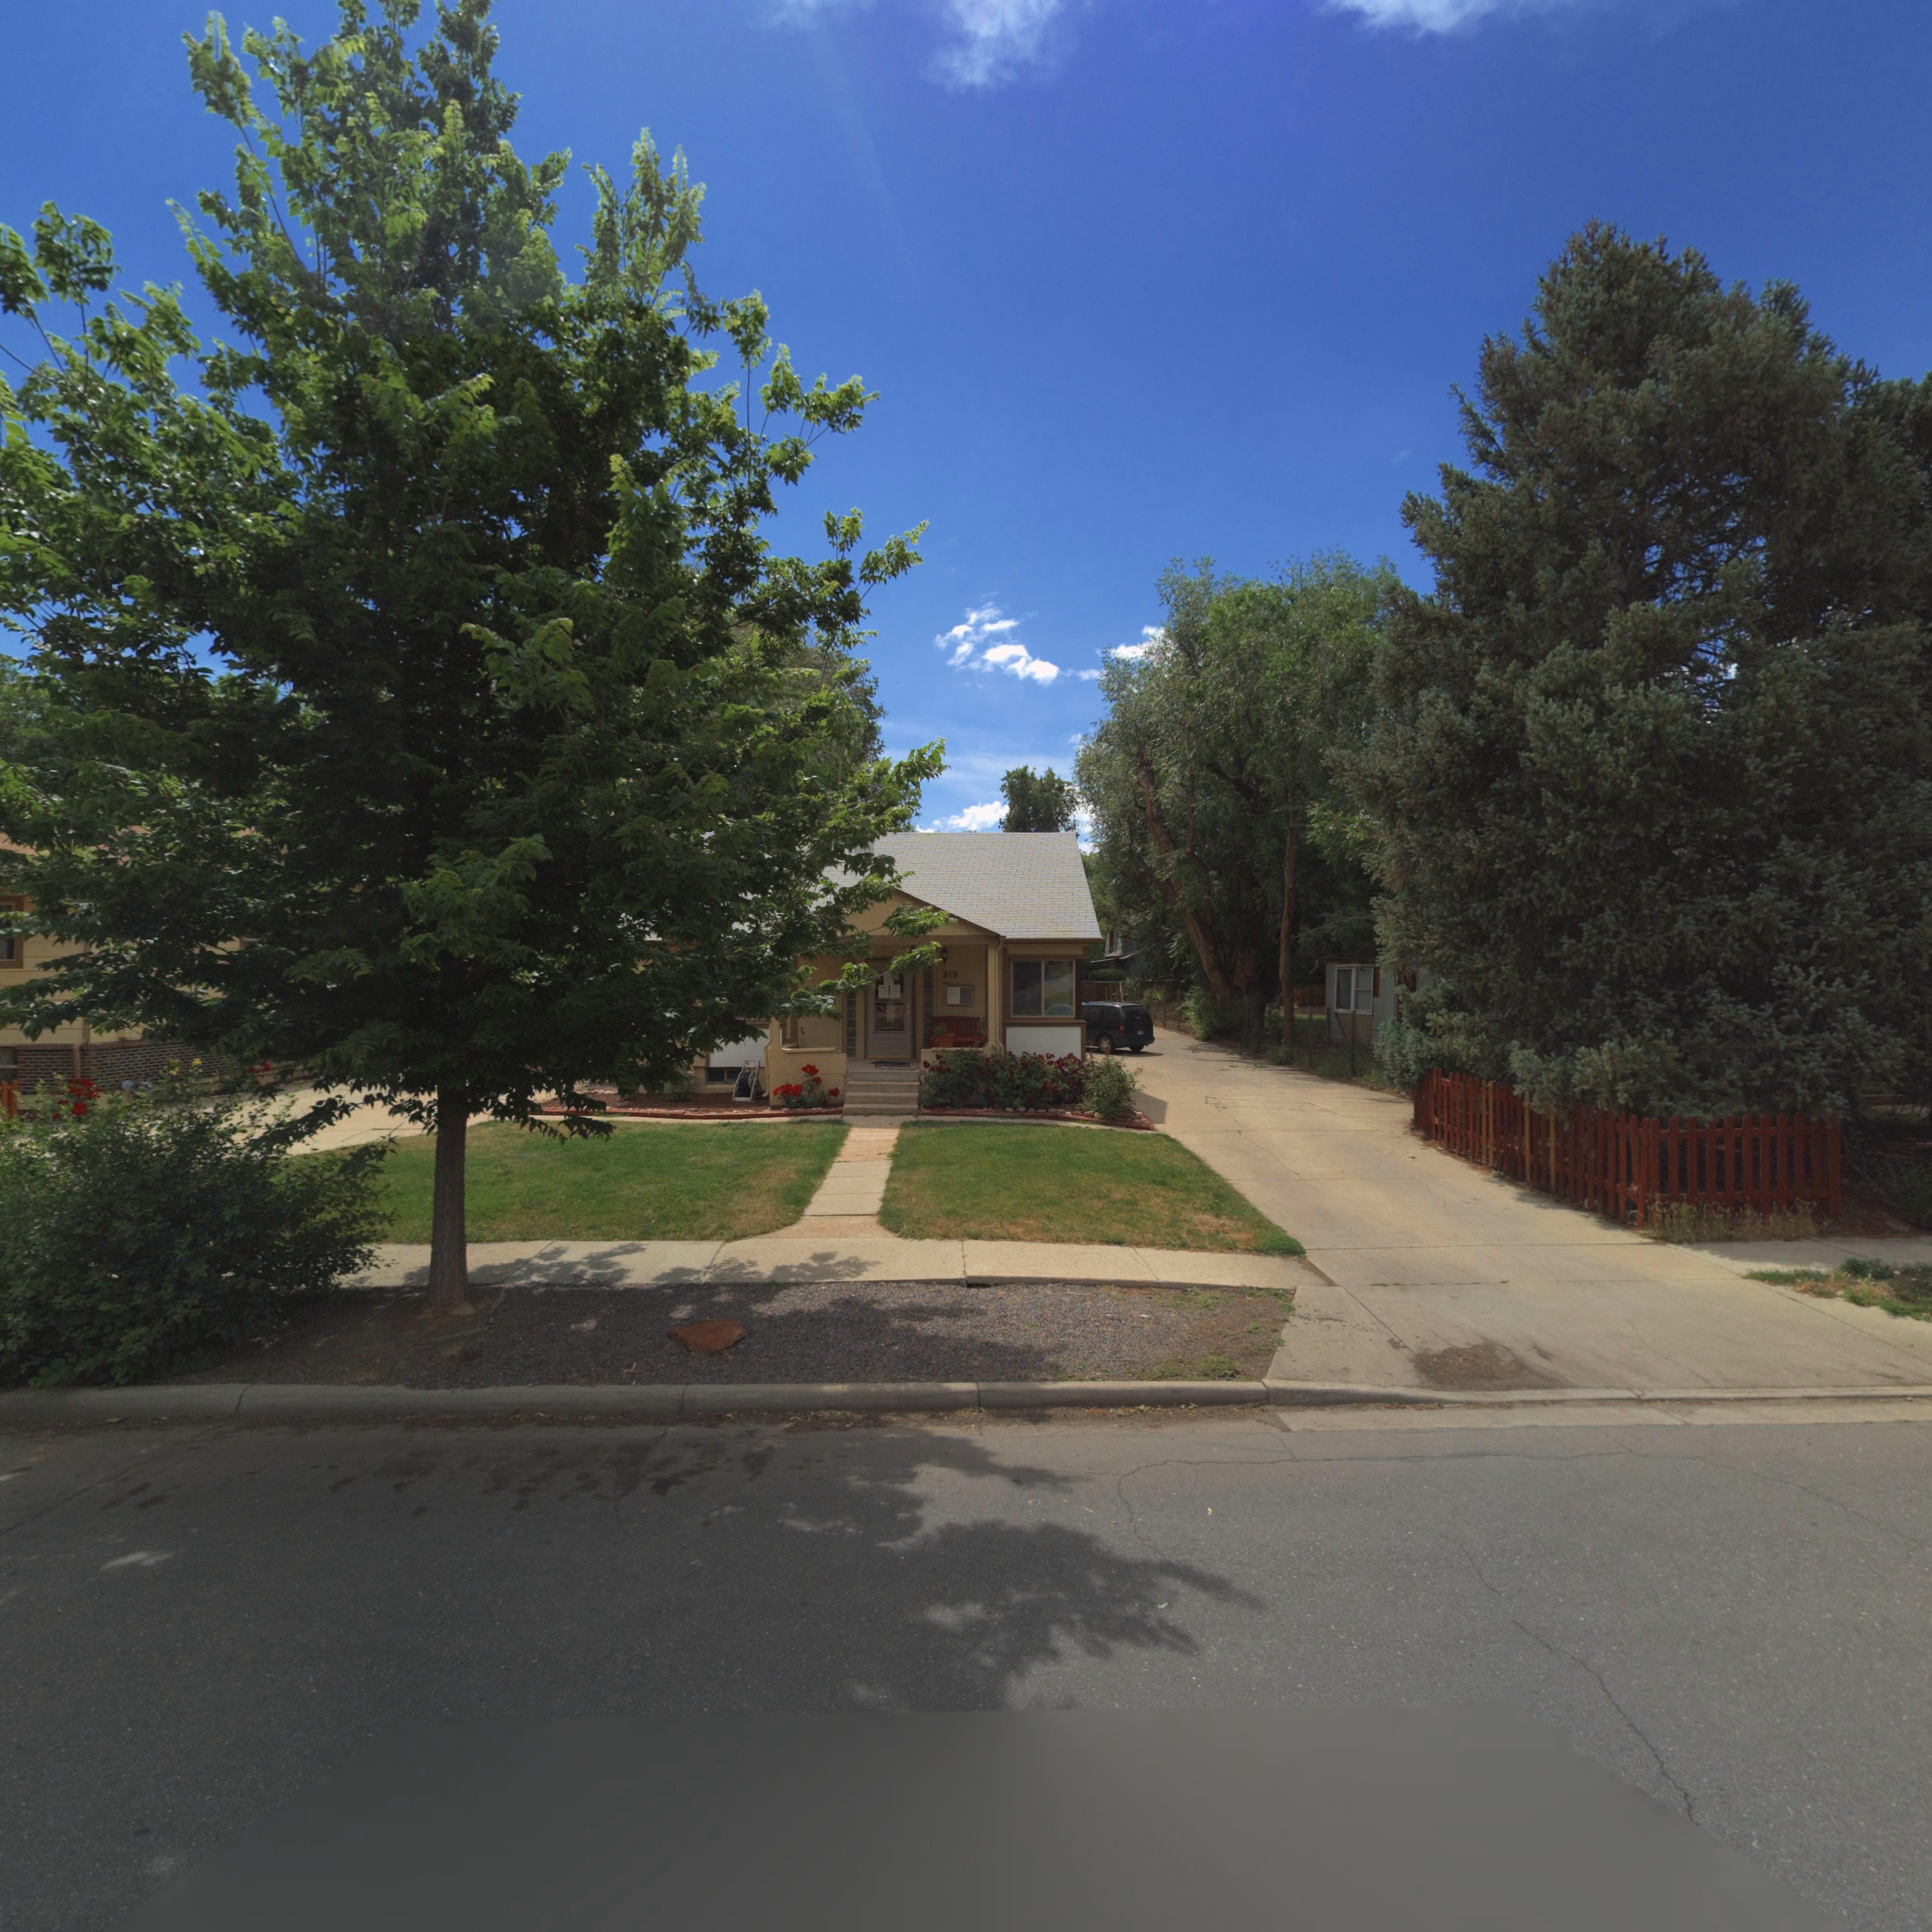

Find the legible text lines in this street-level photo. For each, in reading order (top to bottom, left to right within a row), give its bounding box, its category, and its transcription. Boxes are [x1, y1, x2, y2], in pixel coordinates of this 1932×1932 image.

[943, 971, 956, 978] StreetNumber: 819